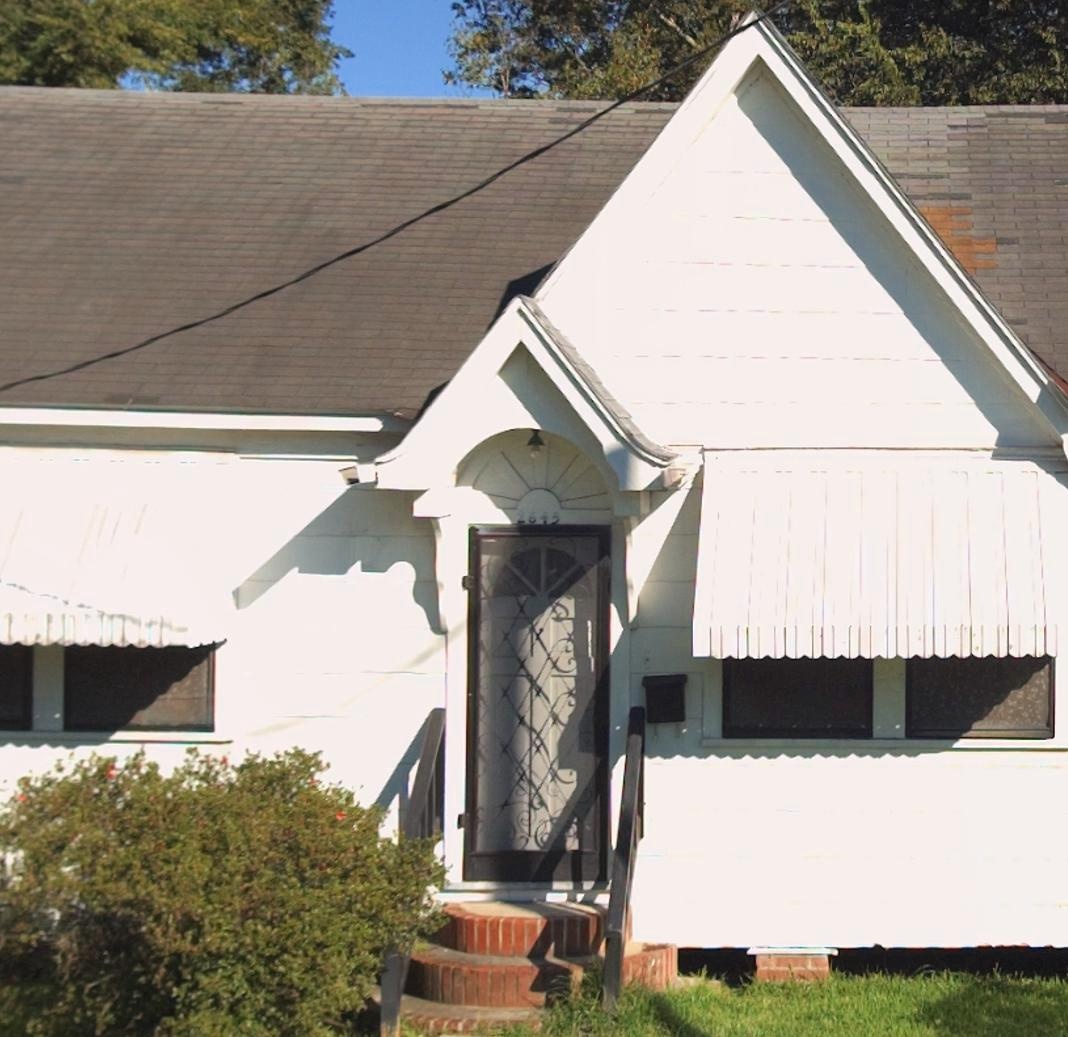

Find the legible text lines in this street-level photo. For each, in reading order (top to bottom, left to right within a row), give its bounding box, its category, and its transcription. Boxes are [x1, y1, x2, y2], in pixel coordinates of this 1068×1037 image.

[515, 507, 562, 527] StreetNumber: 2645